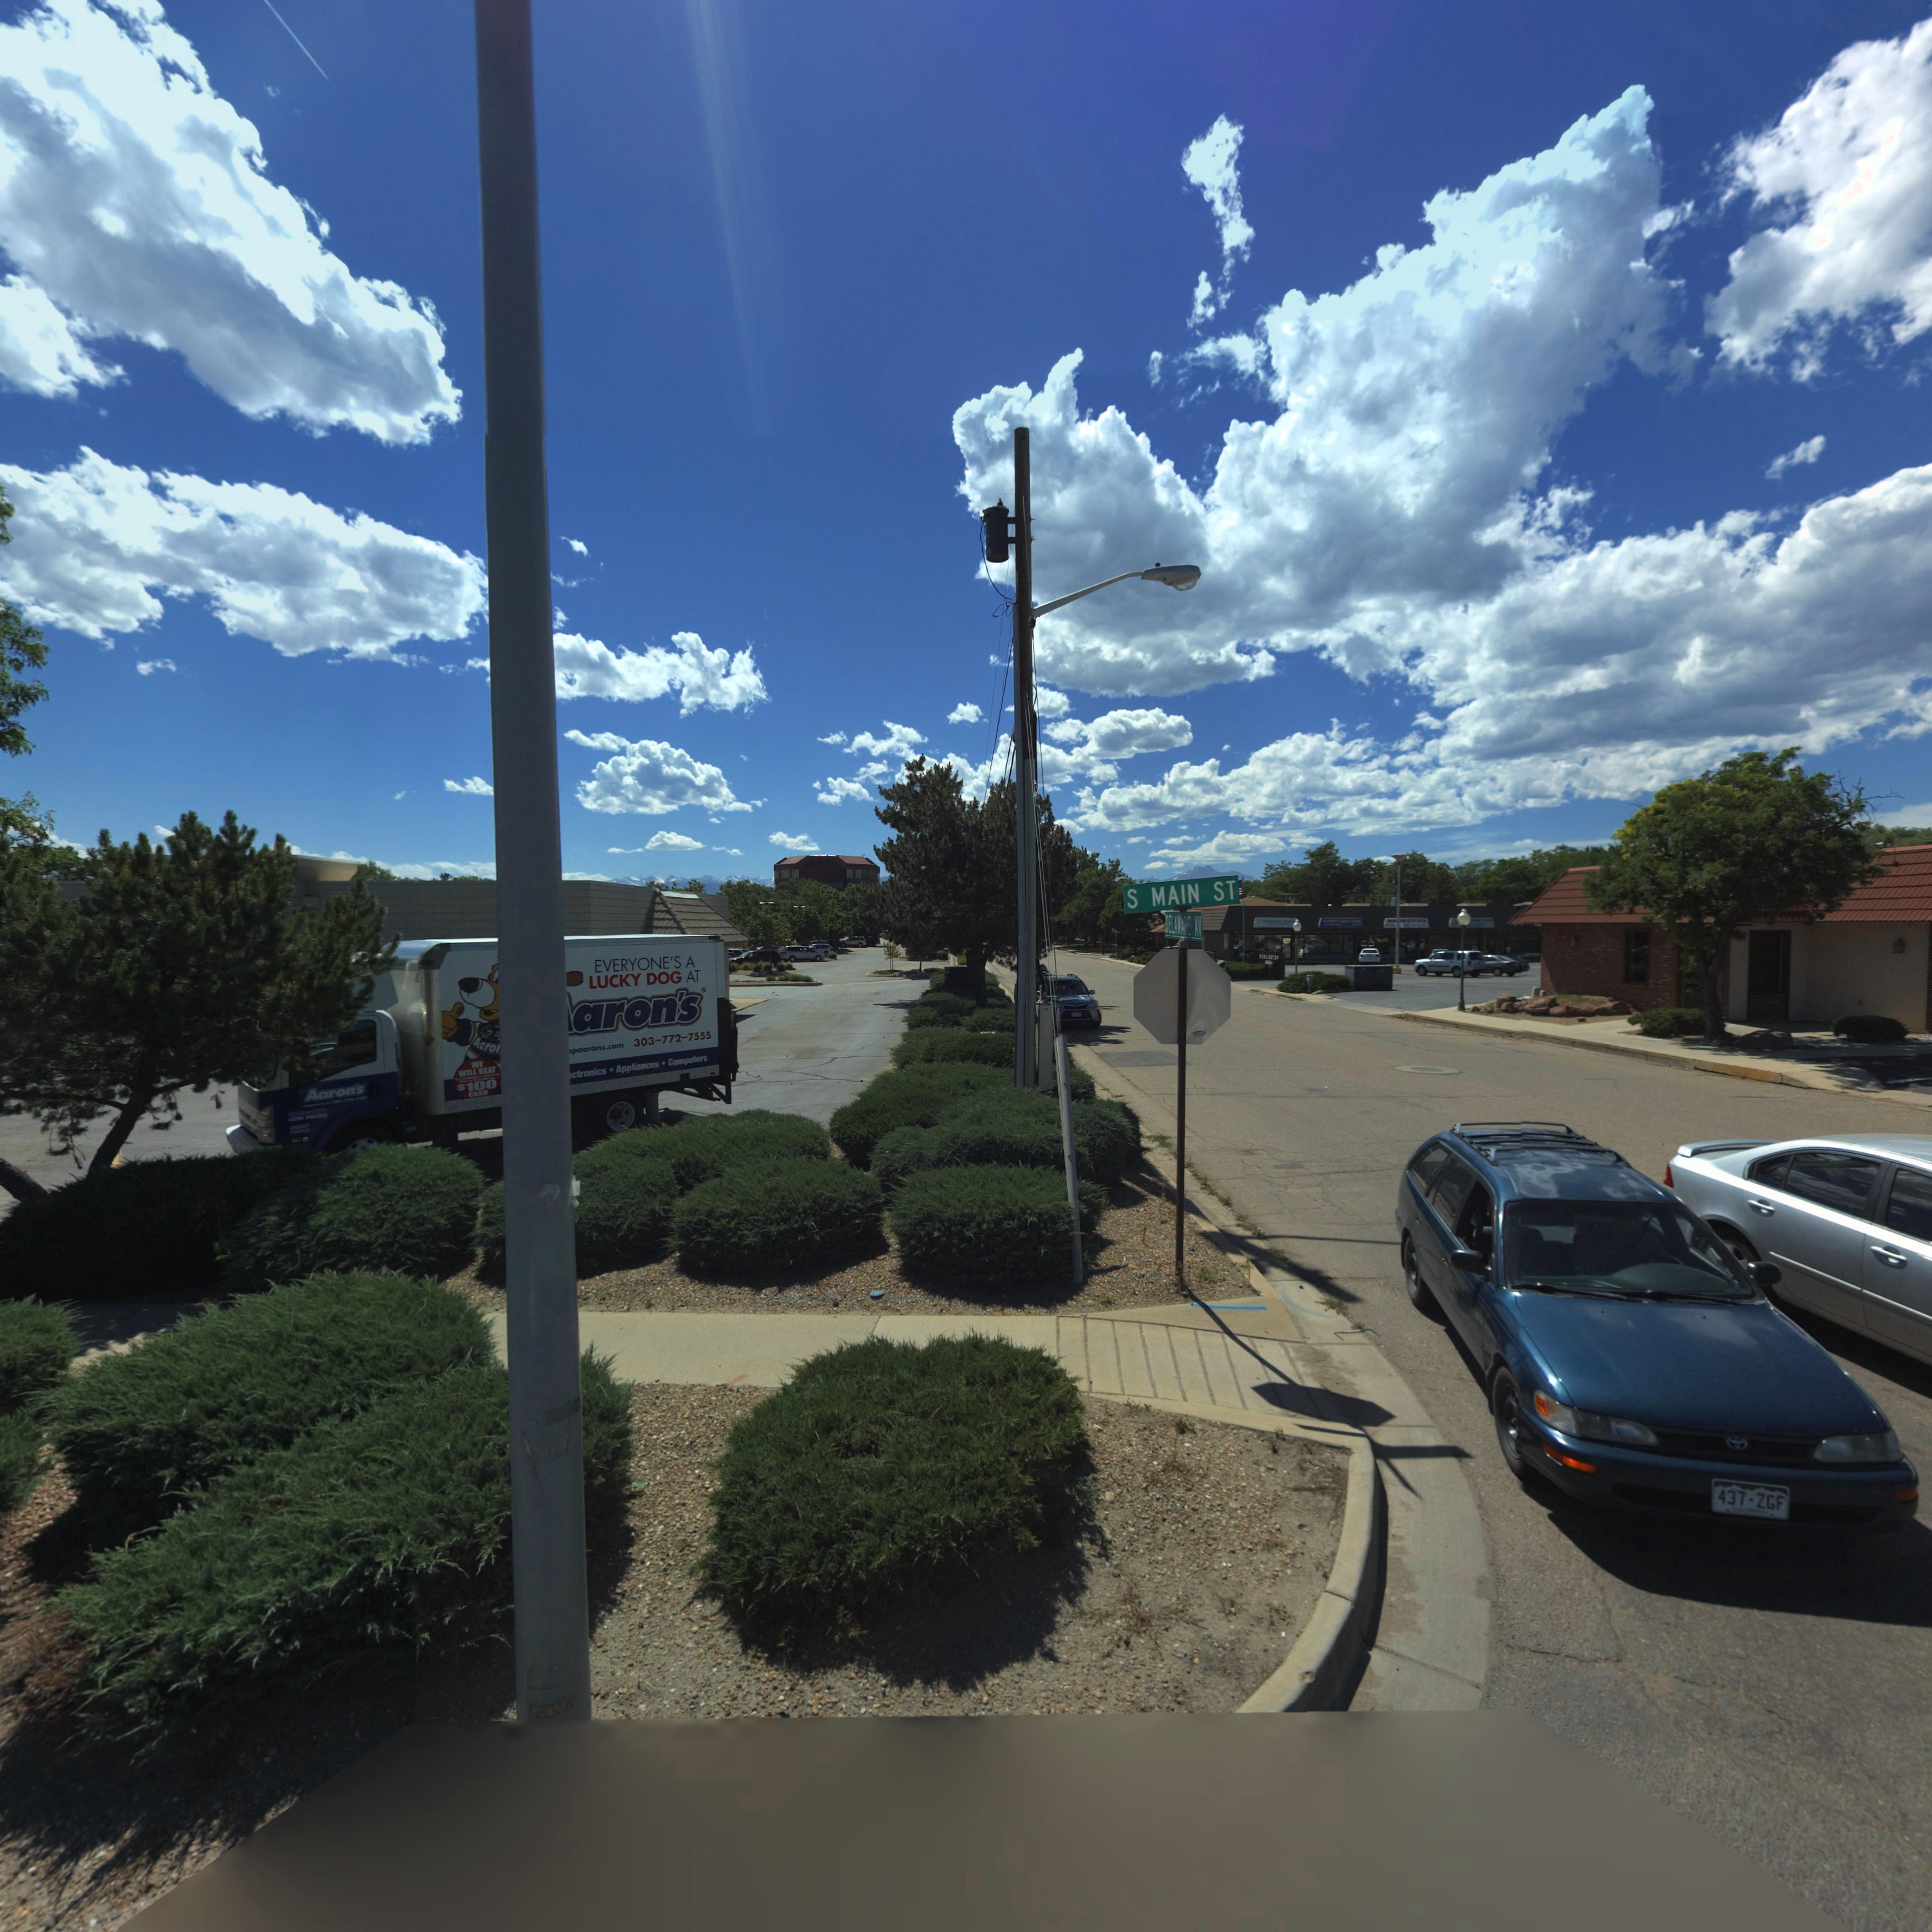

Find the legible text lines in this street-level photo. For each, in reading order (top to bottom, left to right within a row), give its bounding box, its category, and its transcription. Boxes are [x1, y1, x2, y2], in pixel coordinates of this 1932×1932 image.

[1126, 879, 1236, 910] StreetName: S MAIN ST
[1165, 913, 1202, 938] StreetName: DELAWARE AV
[589, 970, 700, 989] BusinessName: LUCKY DOG AT